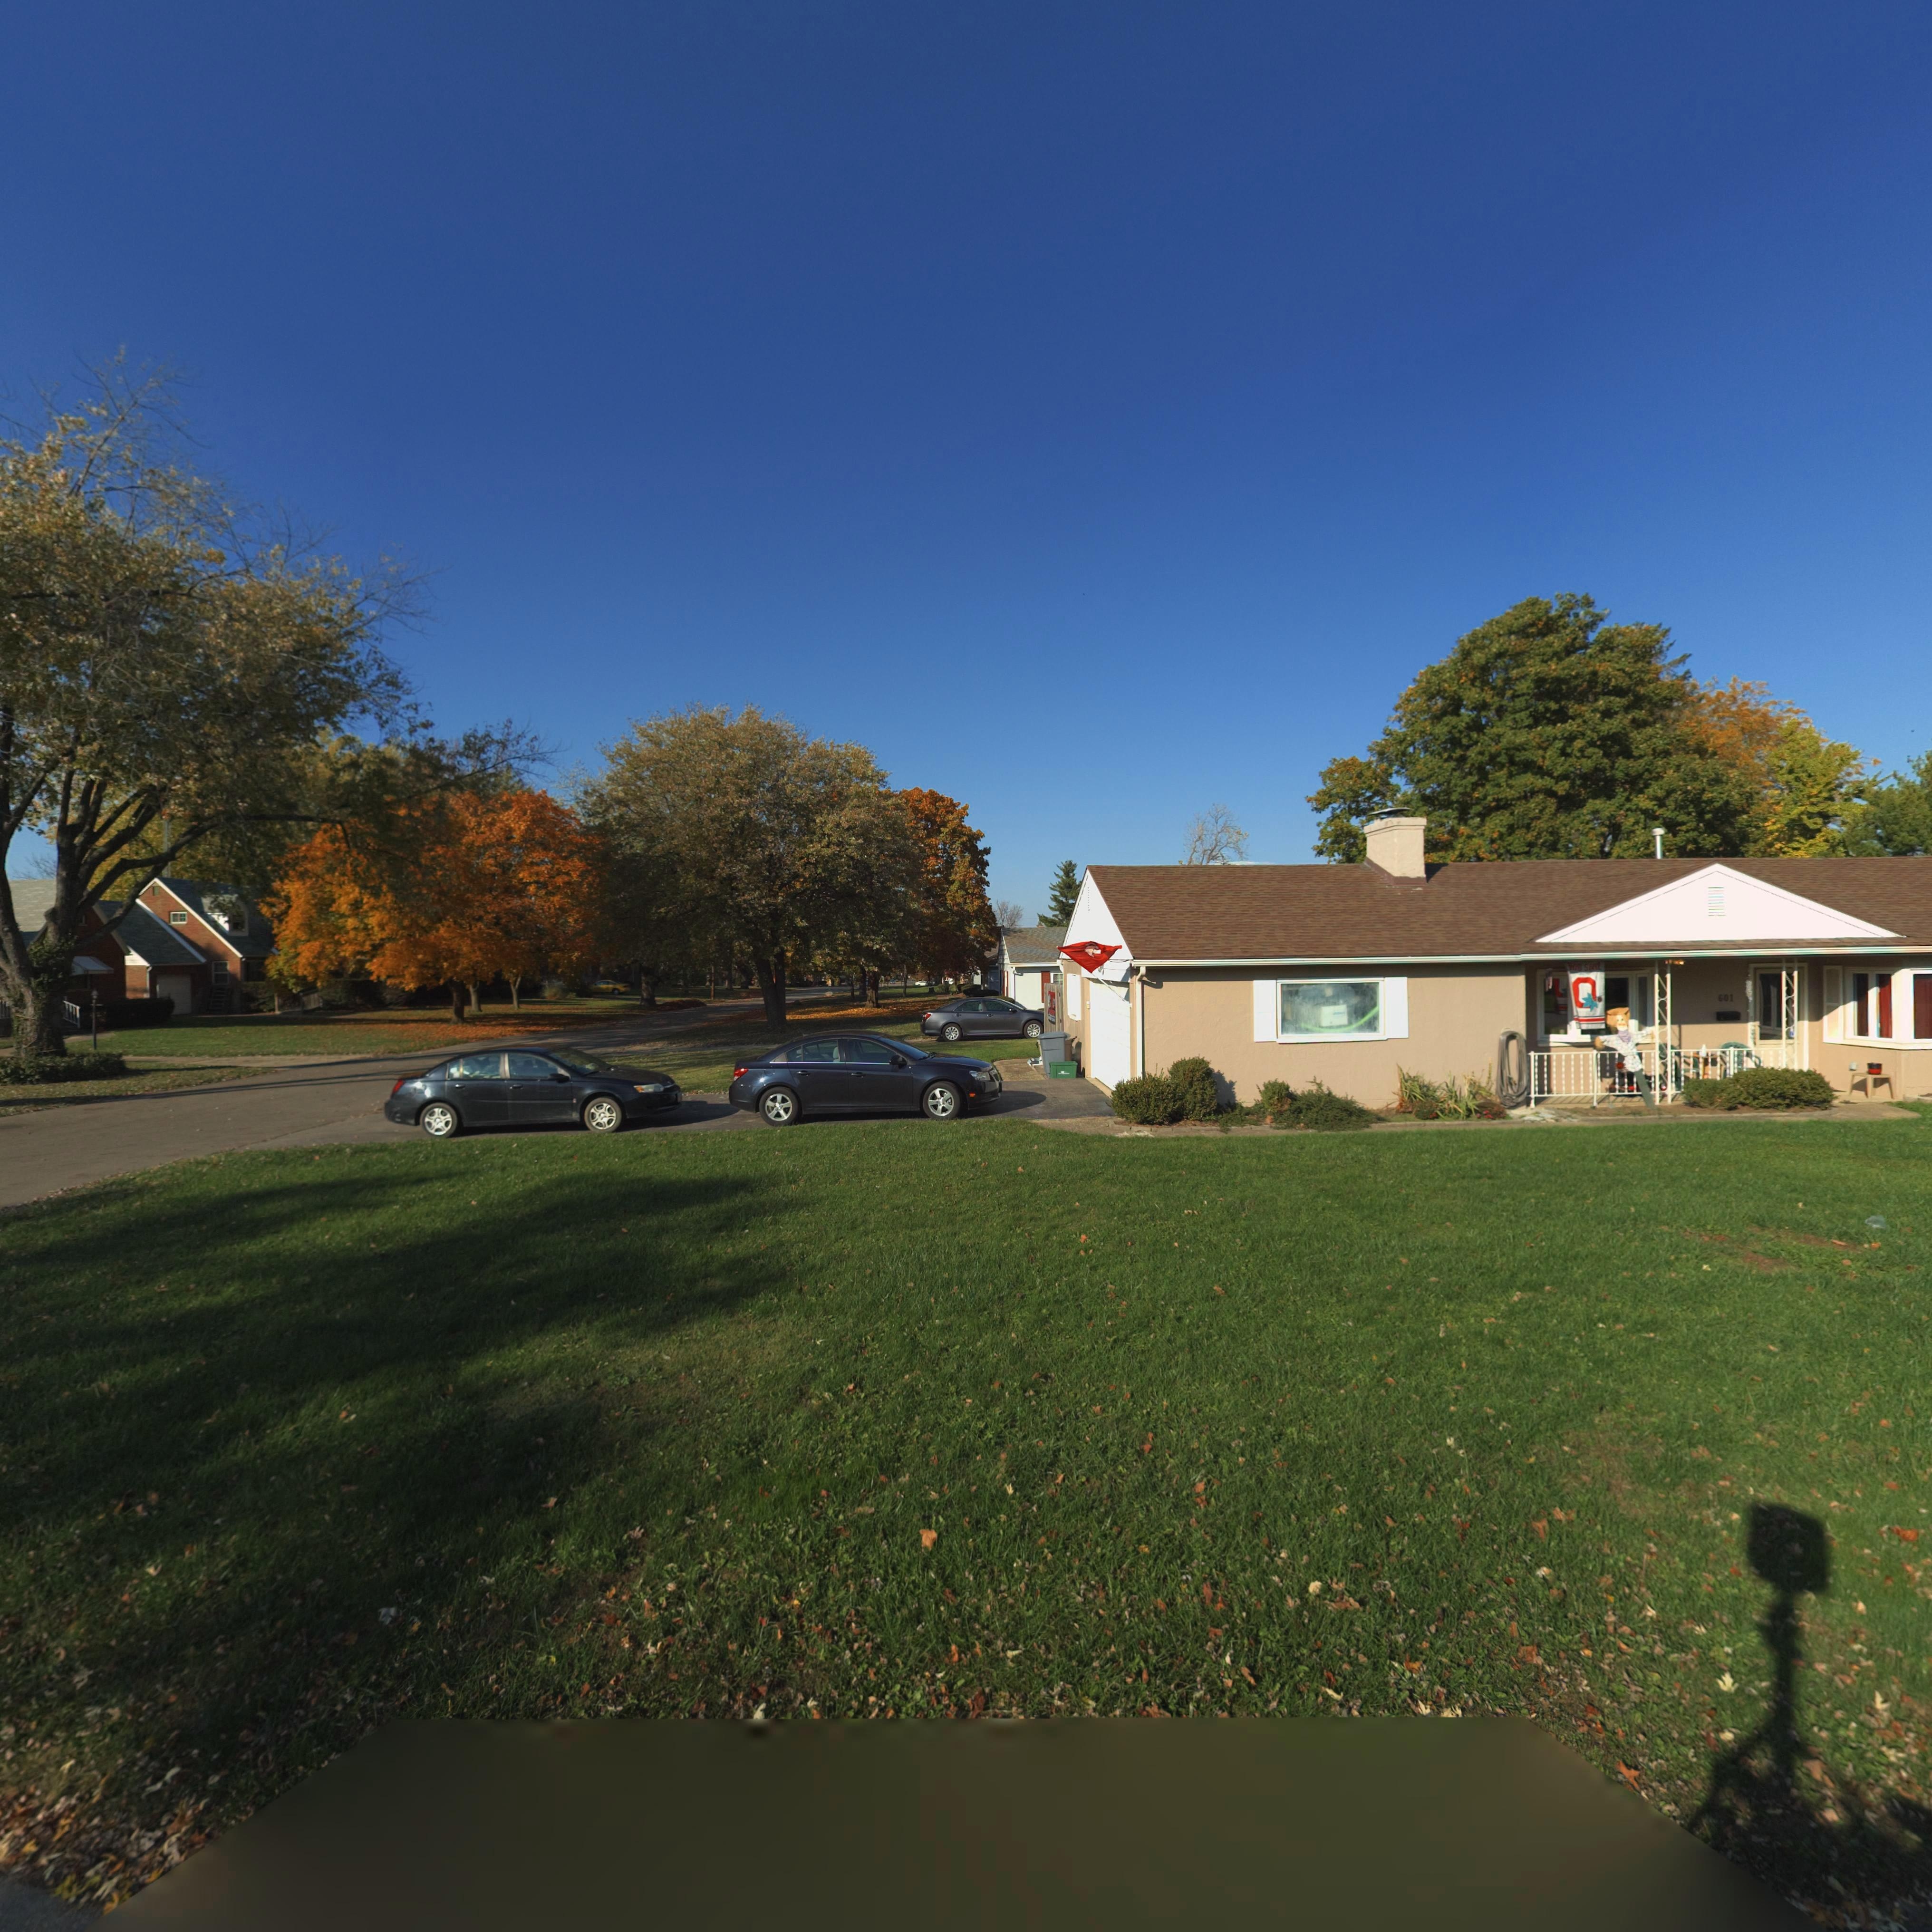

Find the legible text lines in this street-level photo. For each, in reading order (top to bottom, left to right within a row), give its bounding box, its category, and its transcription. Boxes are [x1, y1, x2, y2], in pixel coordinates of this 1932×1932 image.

[1717, 994, 1734, 1002] StreetNumber: 601